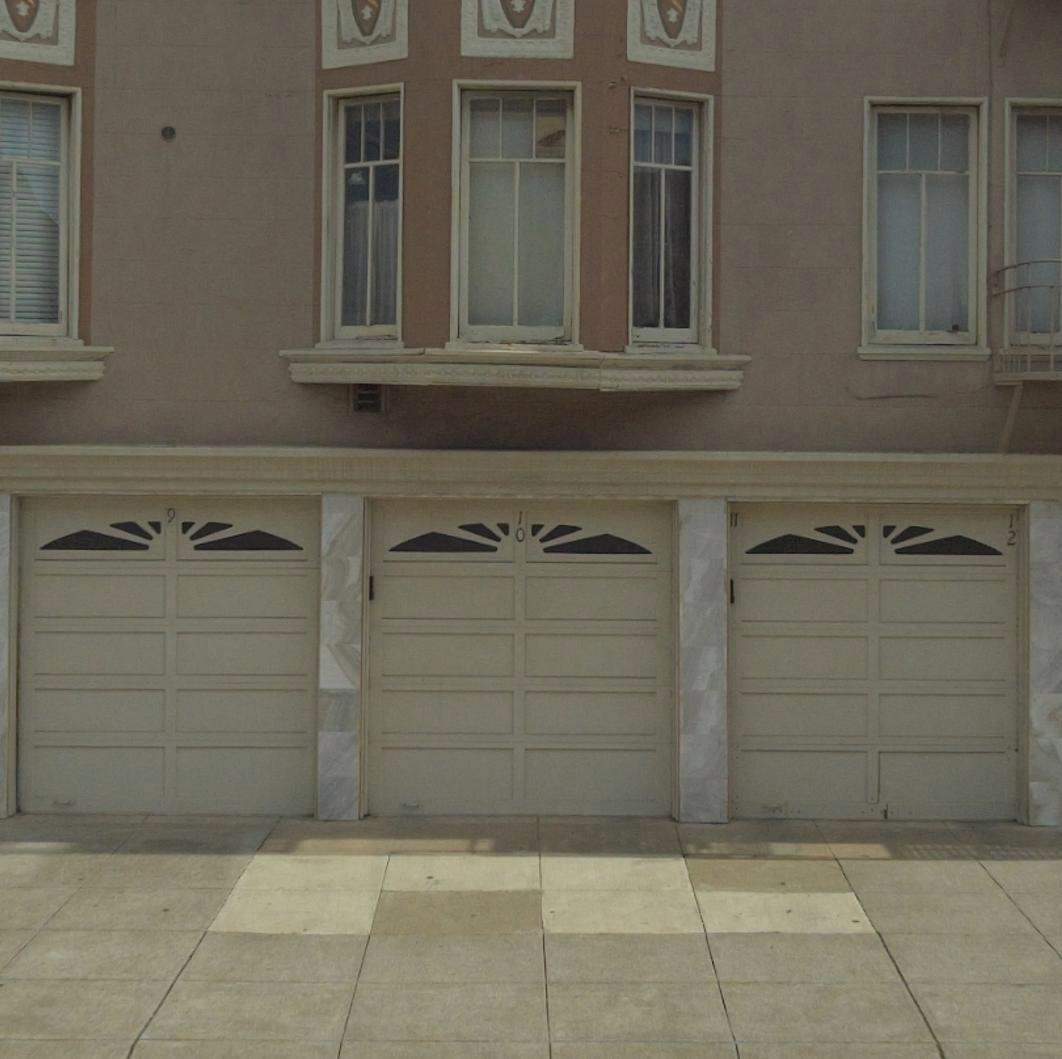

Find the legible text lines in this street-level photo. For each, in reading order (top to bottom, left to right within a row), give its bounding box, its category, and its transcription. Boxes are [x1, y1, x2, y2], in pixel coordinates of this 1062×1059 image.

[164, 505, 178, 526] StreetNumber: 9
[513, 510, 527, 545] StreetNumber: 10
[728, 510, 741, 530] StreetNumber: 11
[1003, 512, 1020, 549] StreetNumber: 12